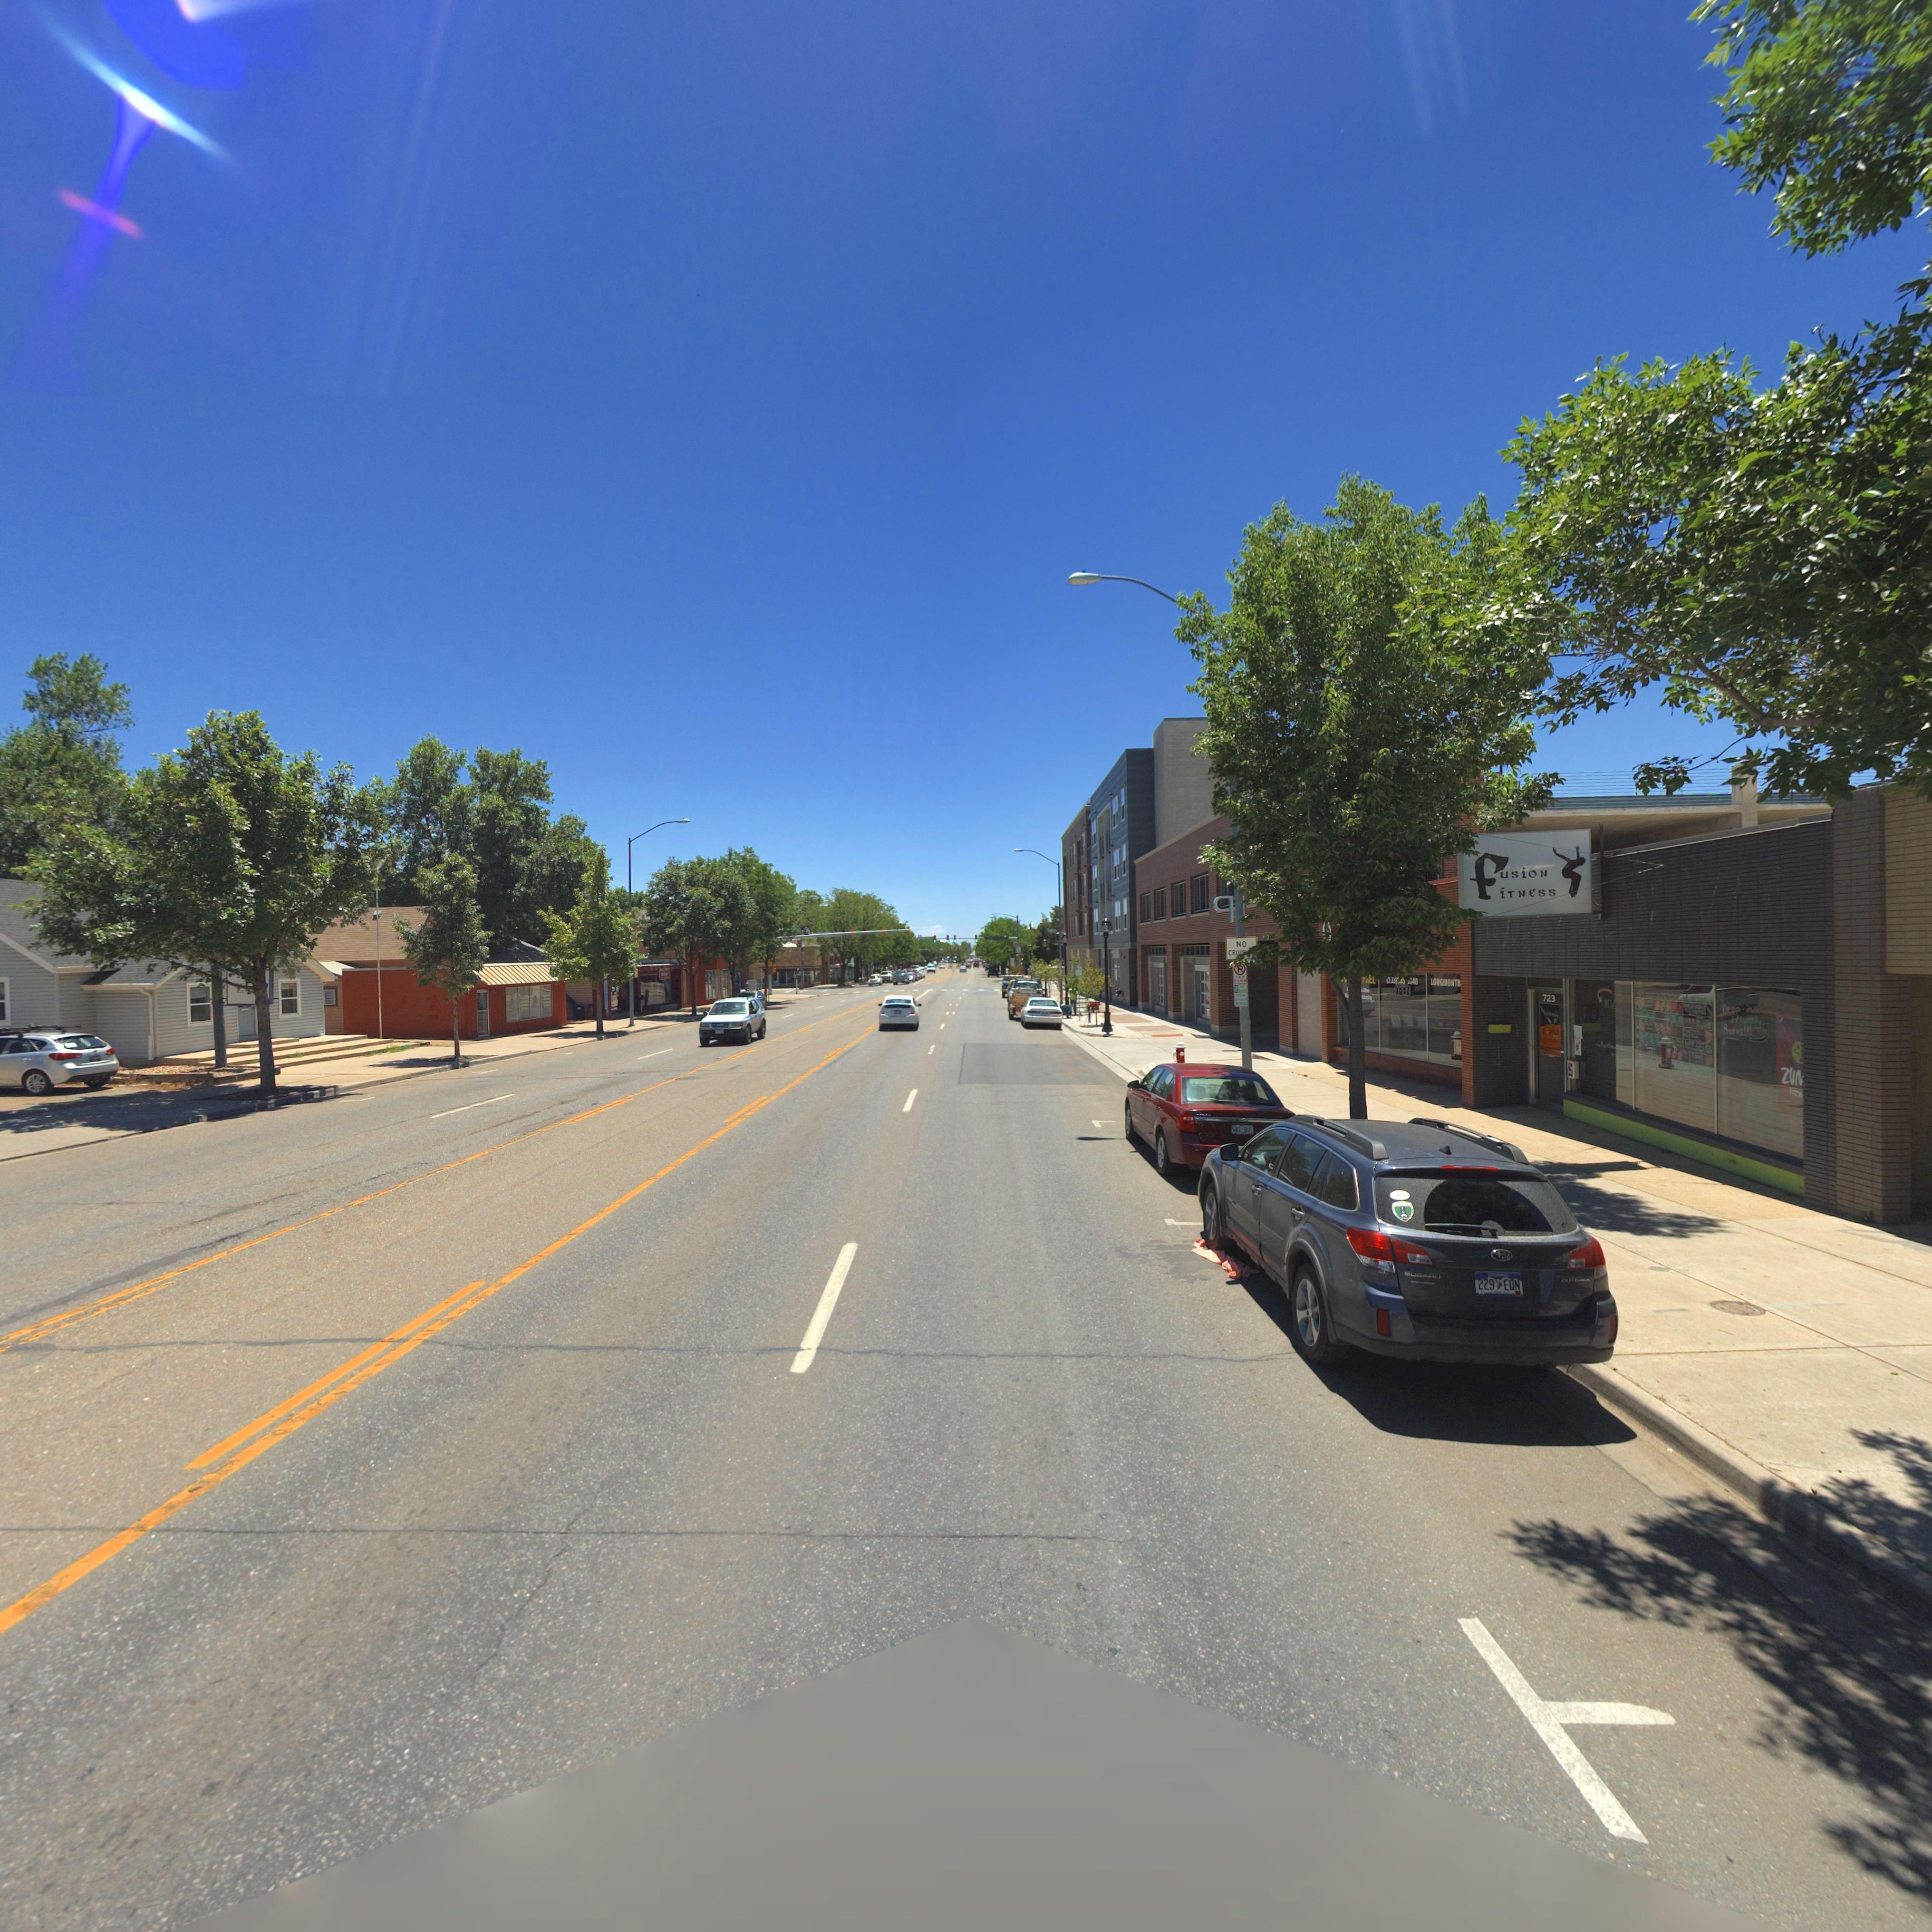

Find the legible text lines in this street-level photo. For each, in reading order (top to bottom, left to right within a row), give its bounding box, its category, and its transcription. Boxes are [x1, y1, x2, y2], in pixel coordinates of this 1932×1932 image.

[1469, 852, 1509, 900] BusinessName: f
[1500, 867, 1547, 879] BusinessName: usioN
[1500, 887, 1555, 898] BusinessName: iTNEss
[1542, 994, 1555, 1003] StreetNumber: 723